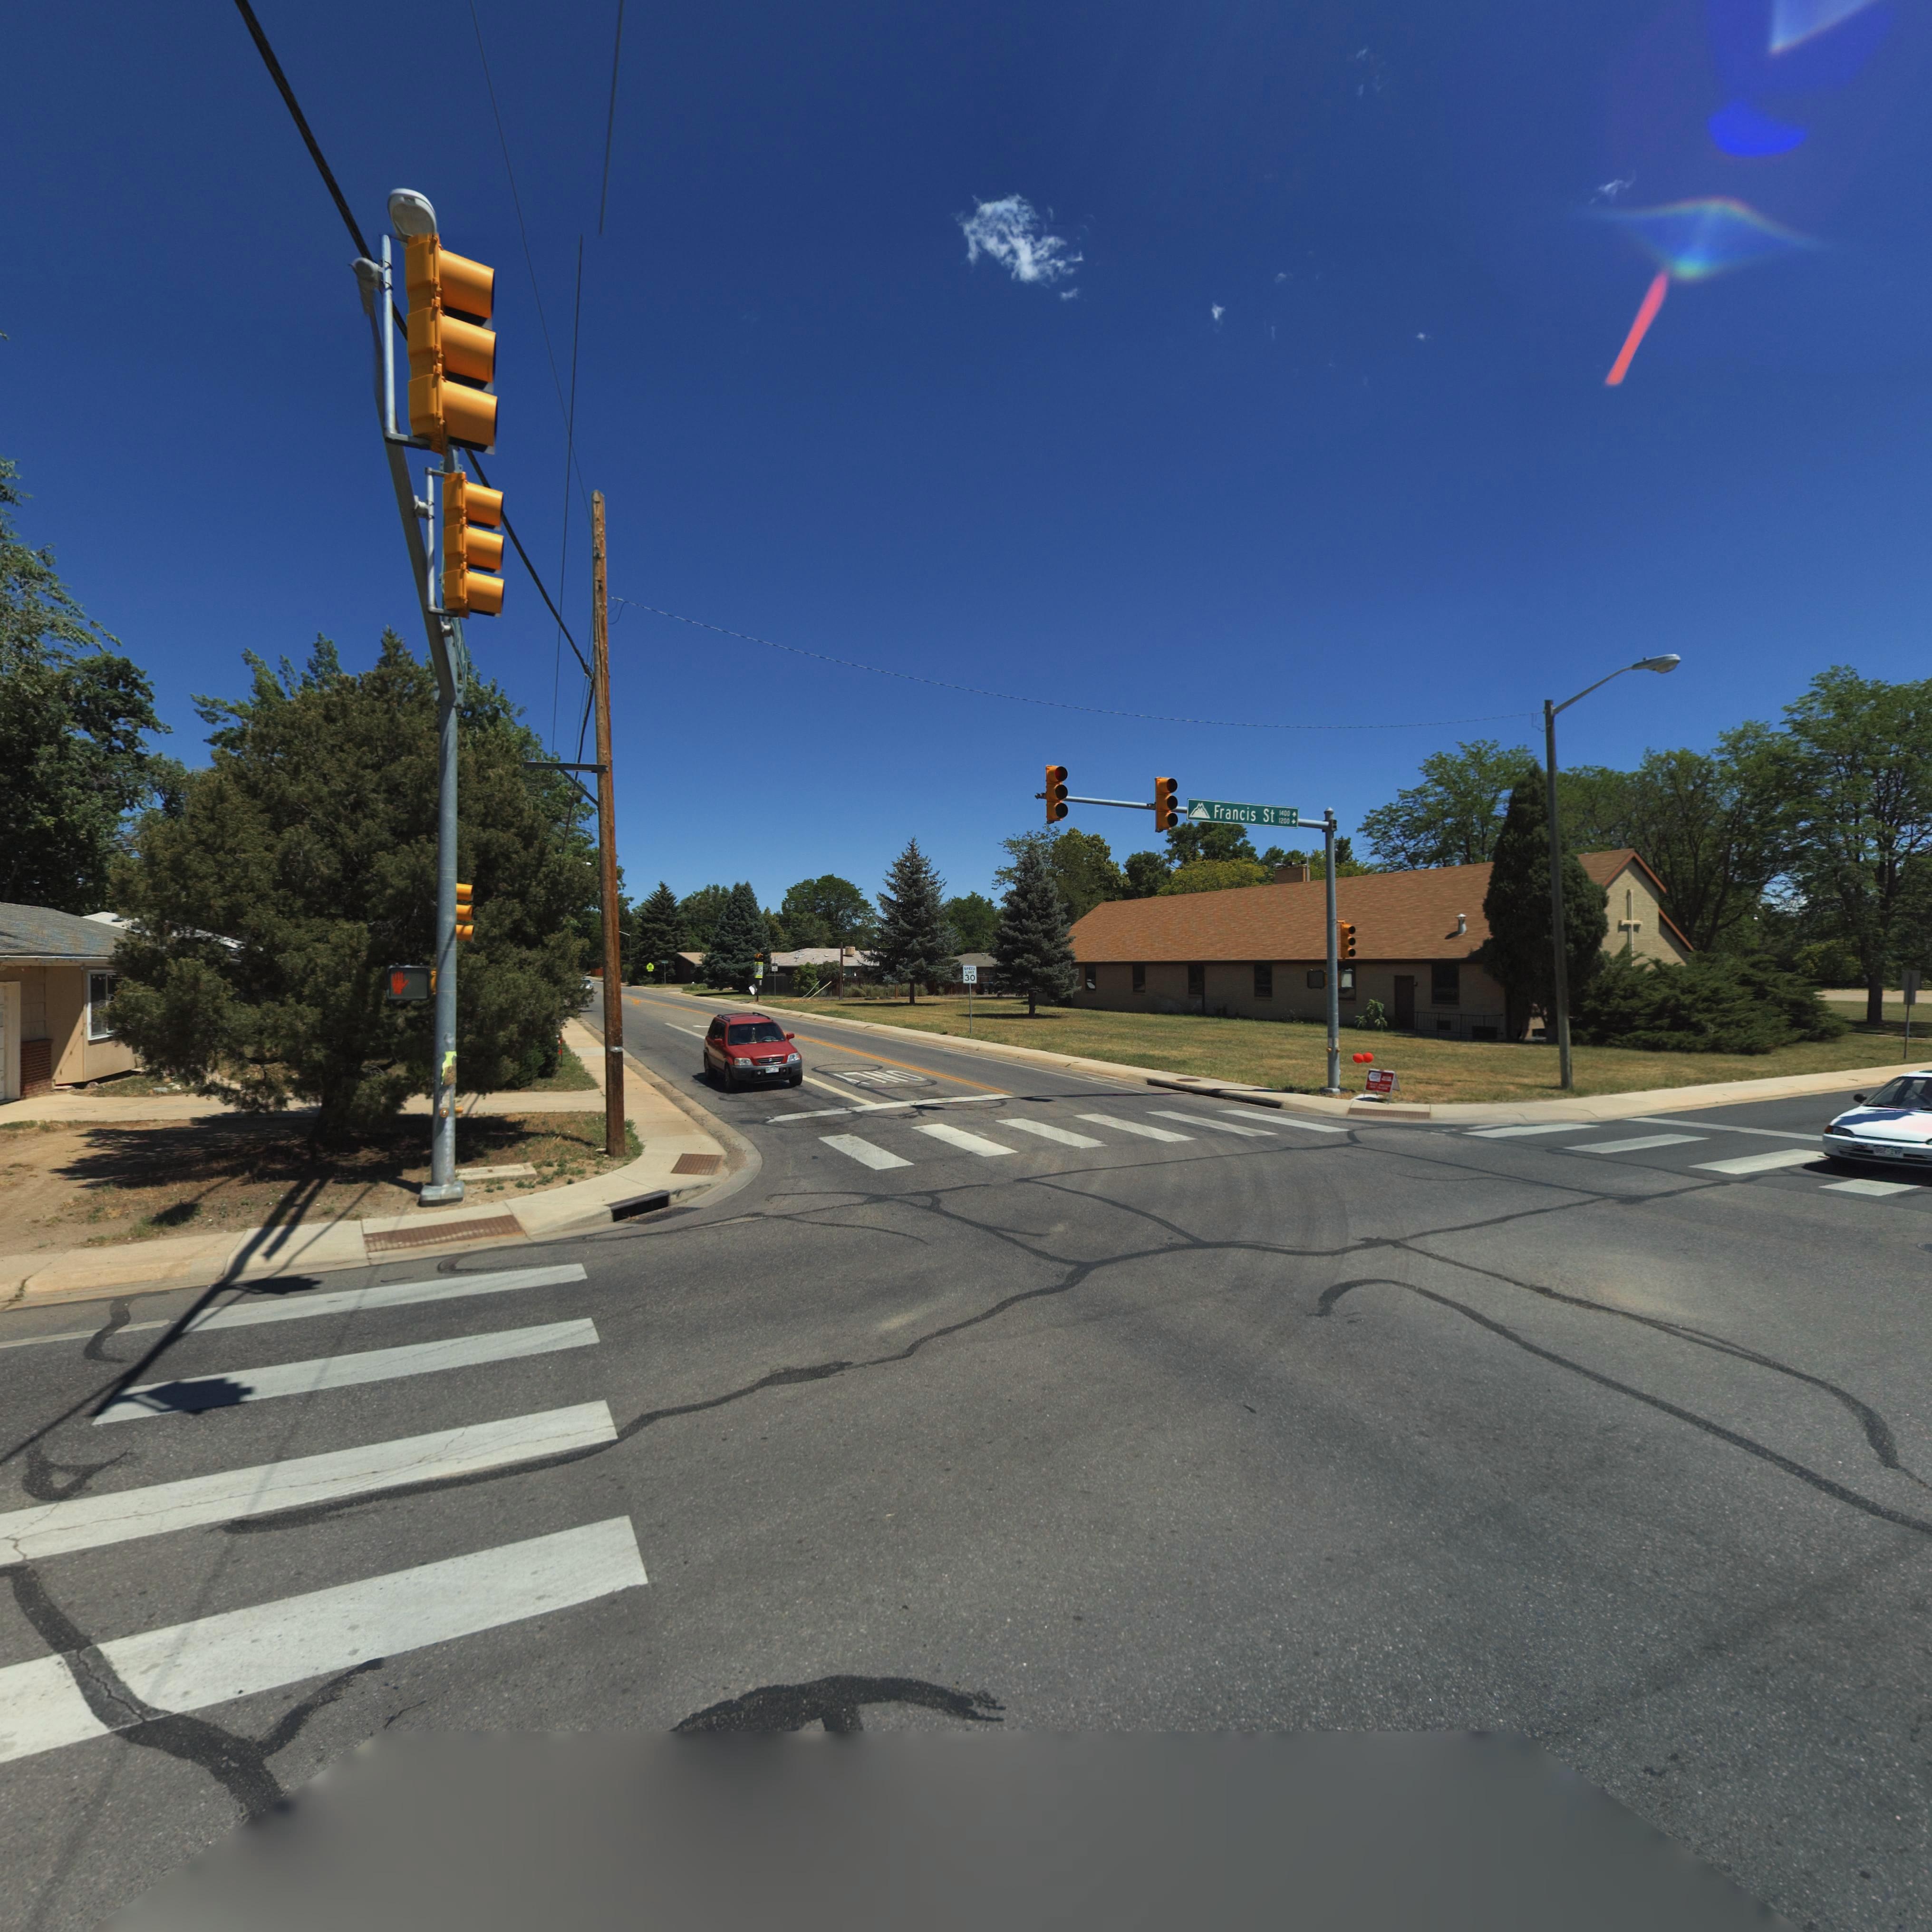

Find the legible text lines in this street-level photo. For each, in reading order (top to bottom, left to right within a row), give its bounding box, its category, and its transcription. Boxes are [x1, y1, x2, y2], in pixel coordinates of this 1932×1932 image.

[1214, 804, 1275, 823] StreetName: Francis St
[1278, 810, 1290, 817] StreetNumberRange: 1400
[1278, 817, 1296, 824] StreetNumberRange: 1200 ->